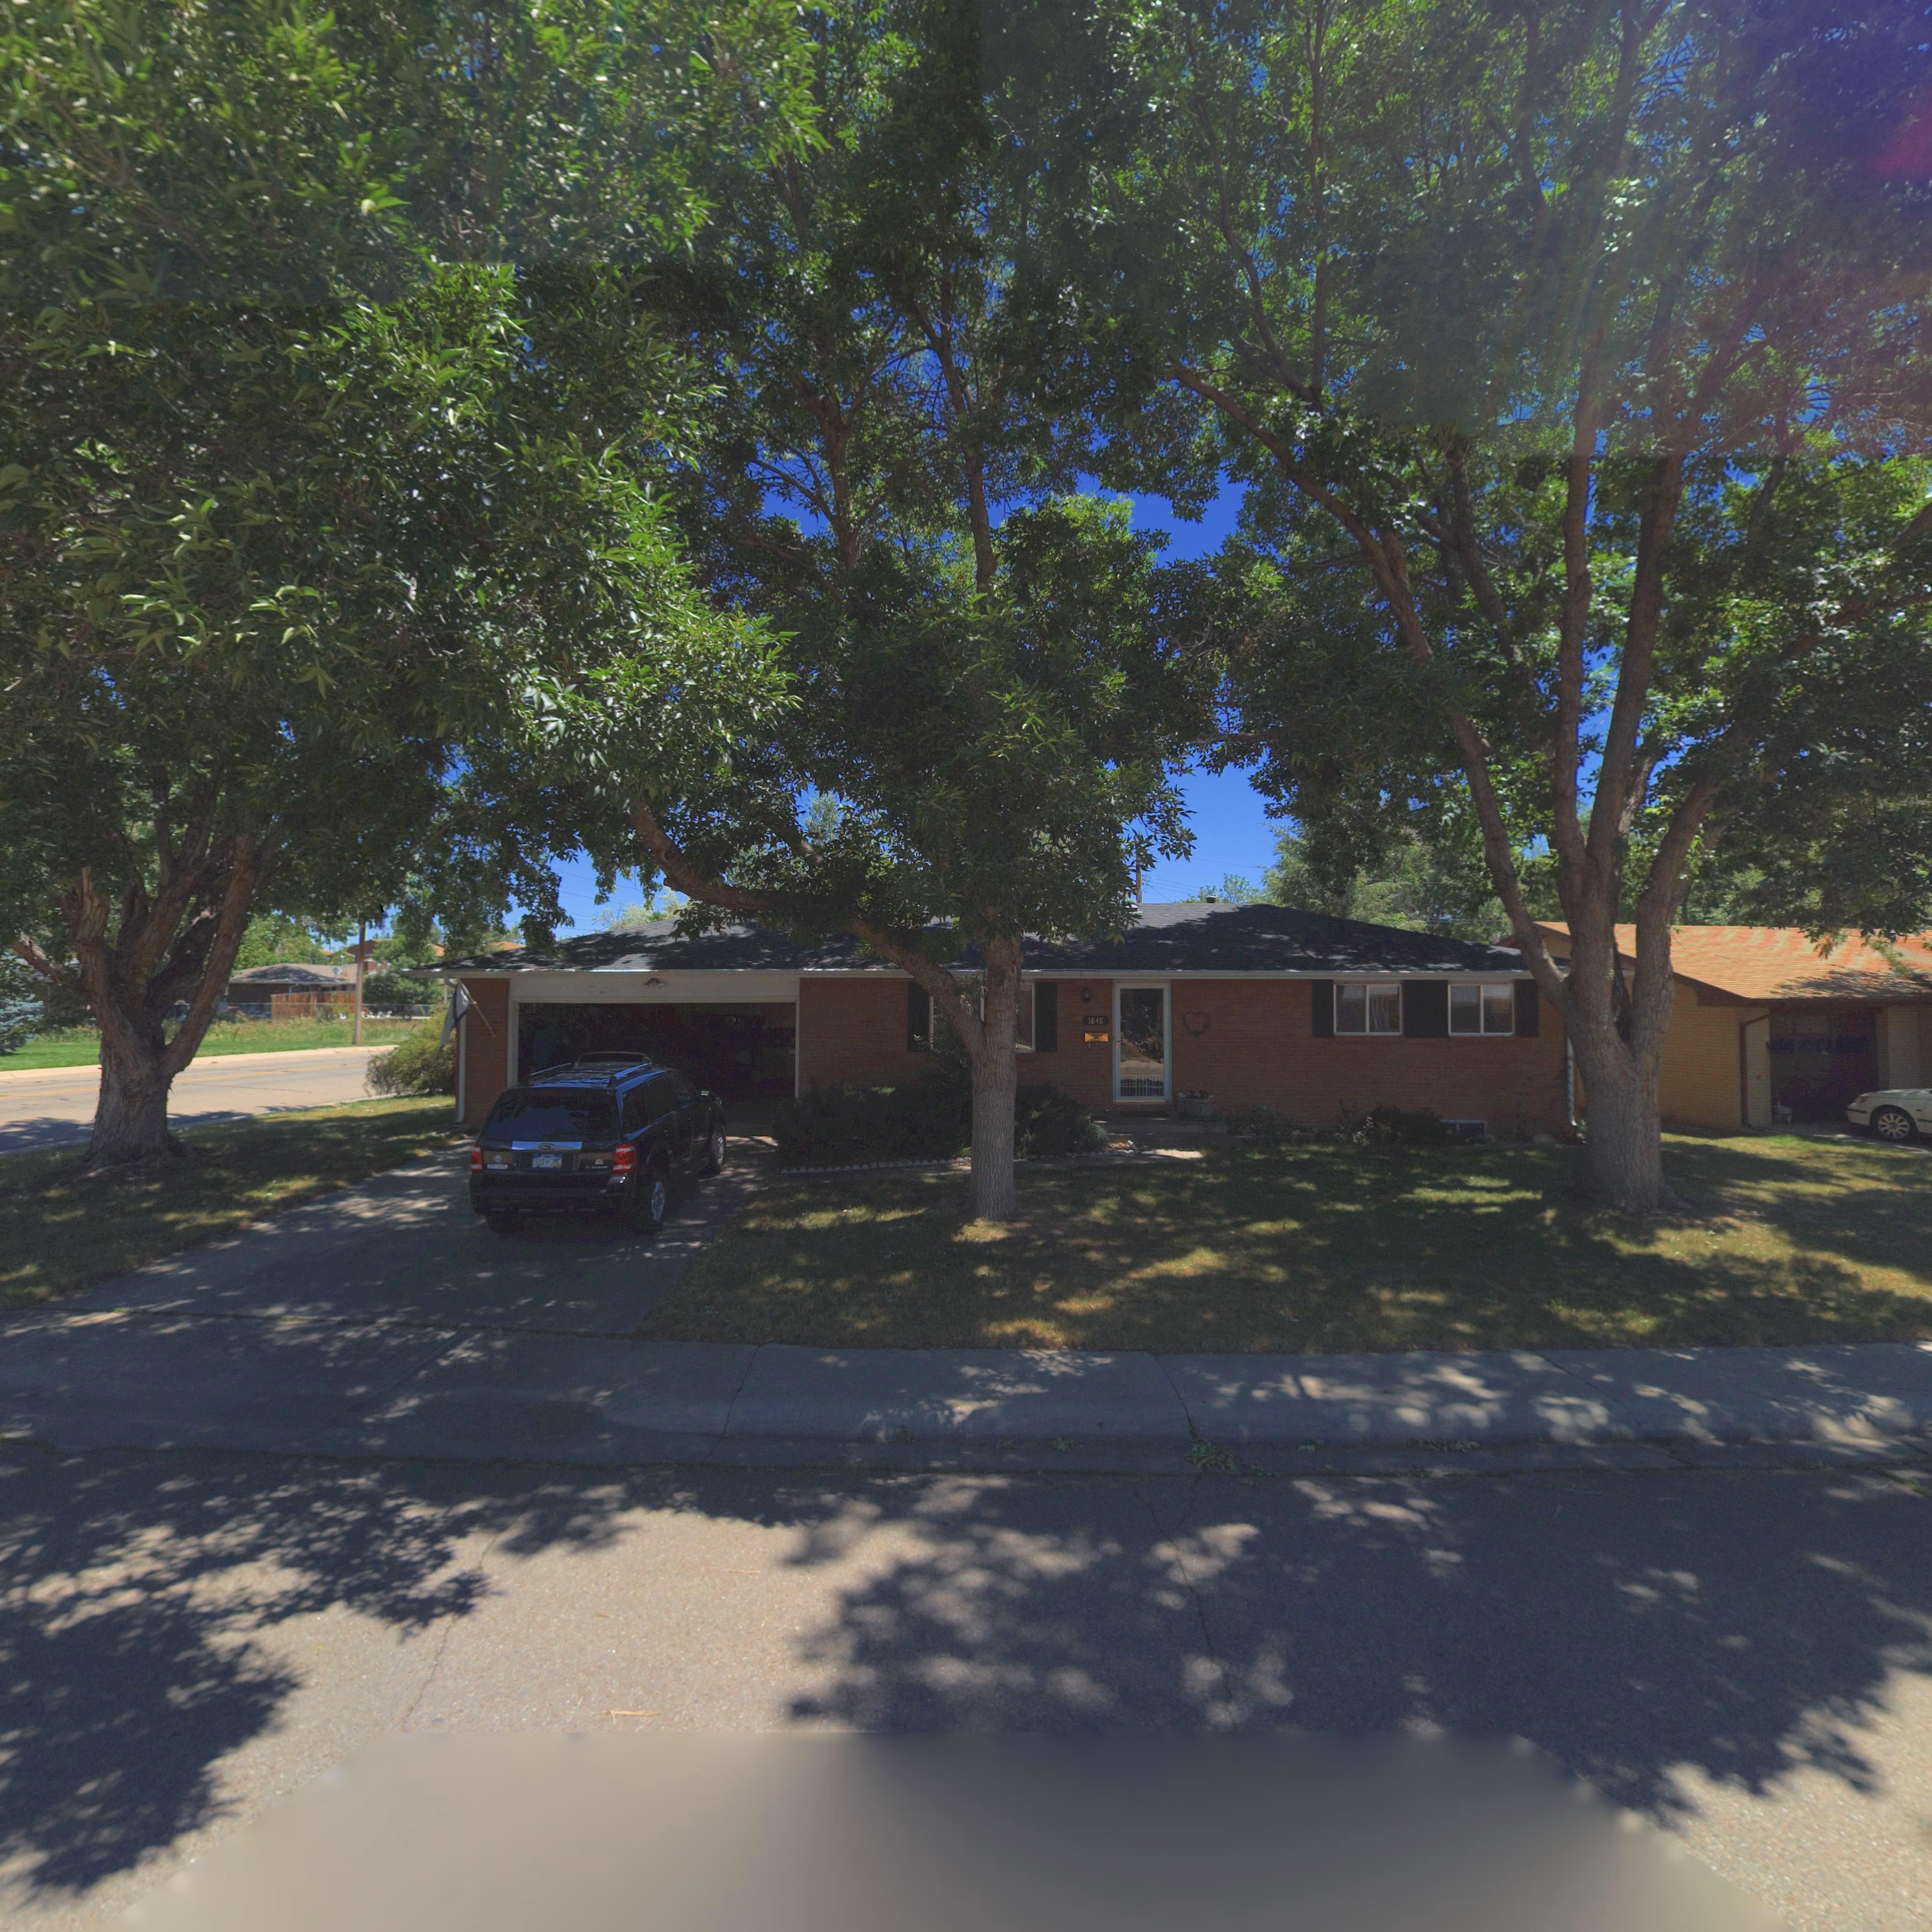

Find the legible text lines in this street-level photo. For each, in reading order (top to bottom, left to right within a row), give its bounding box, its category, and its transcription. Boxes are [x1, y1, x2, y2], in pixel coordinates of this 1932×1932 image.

[1088, 1017, 1103, 1024] StreetNumber: 1848